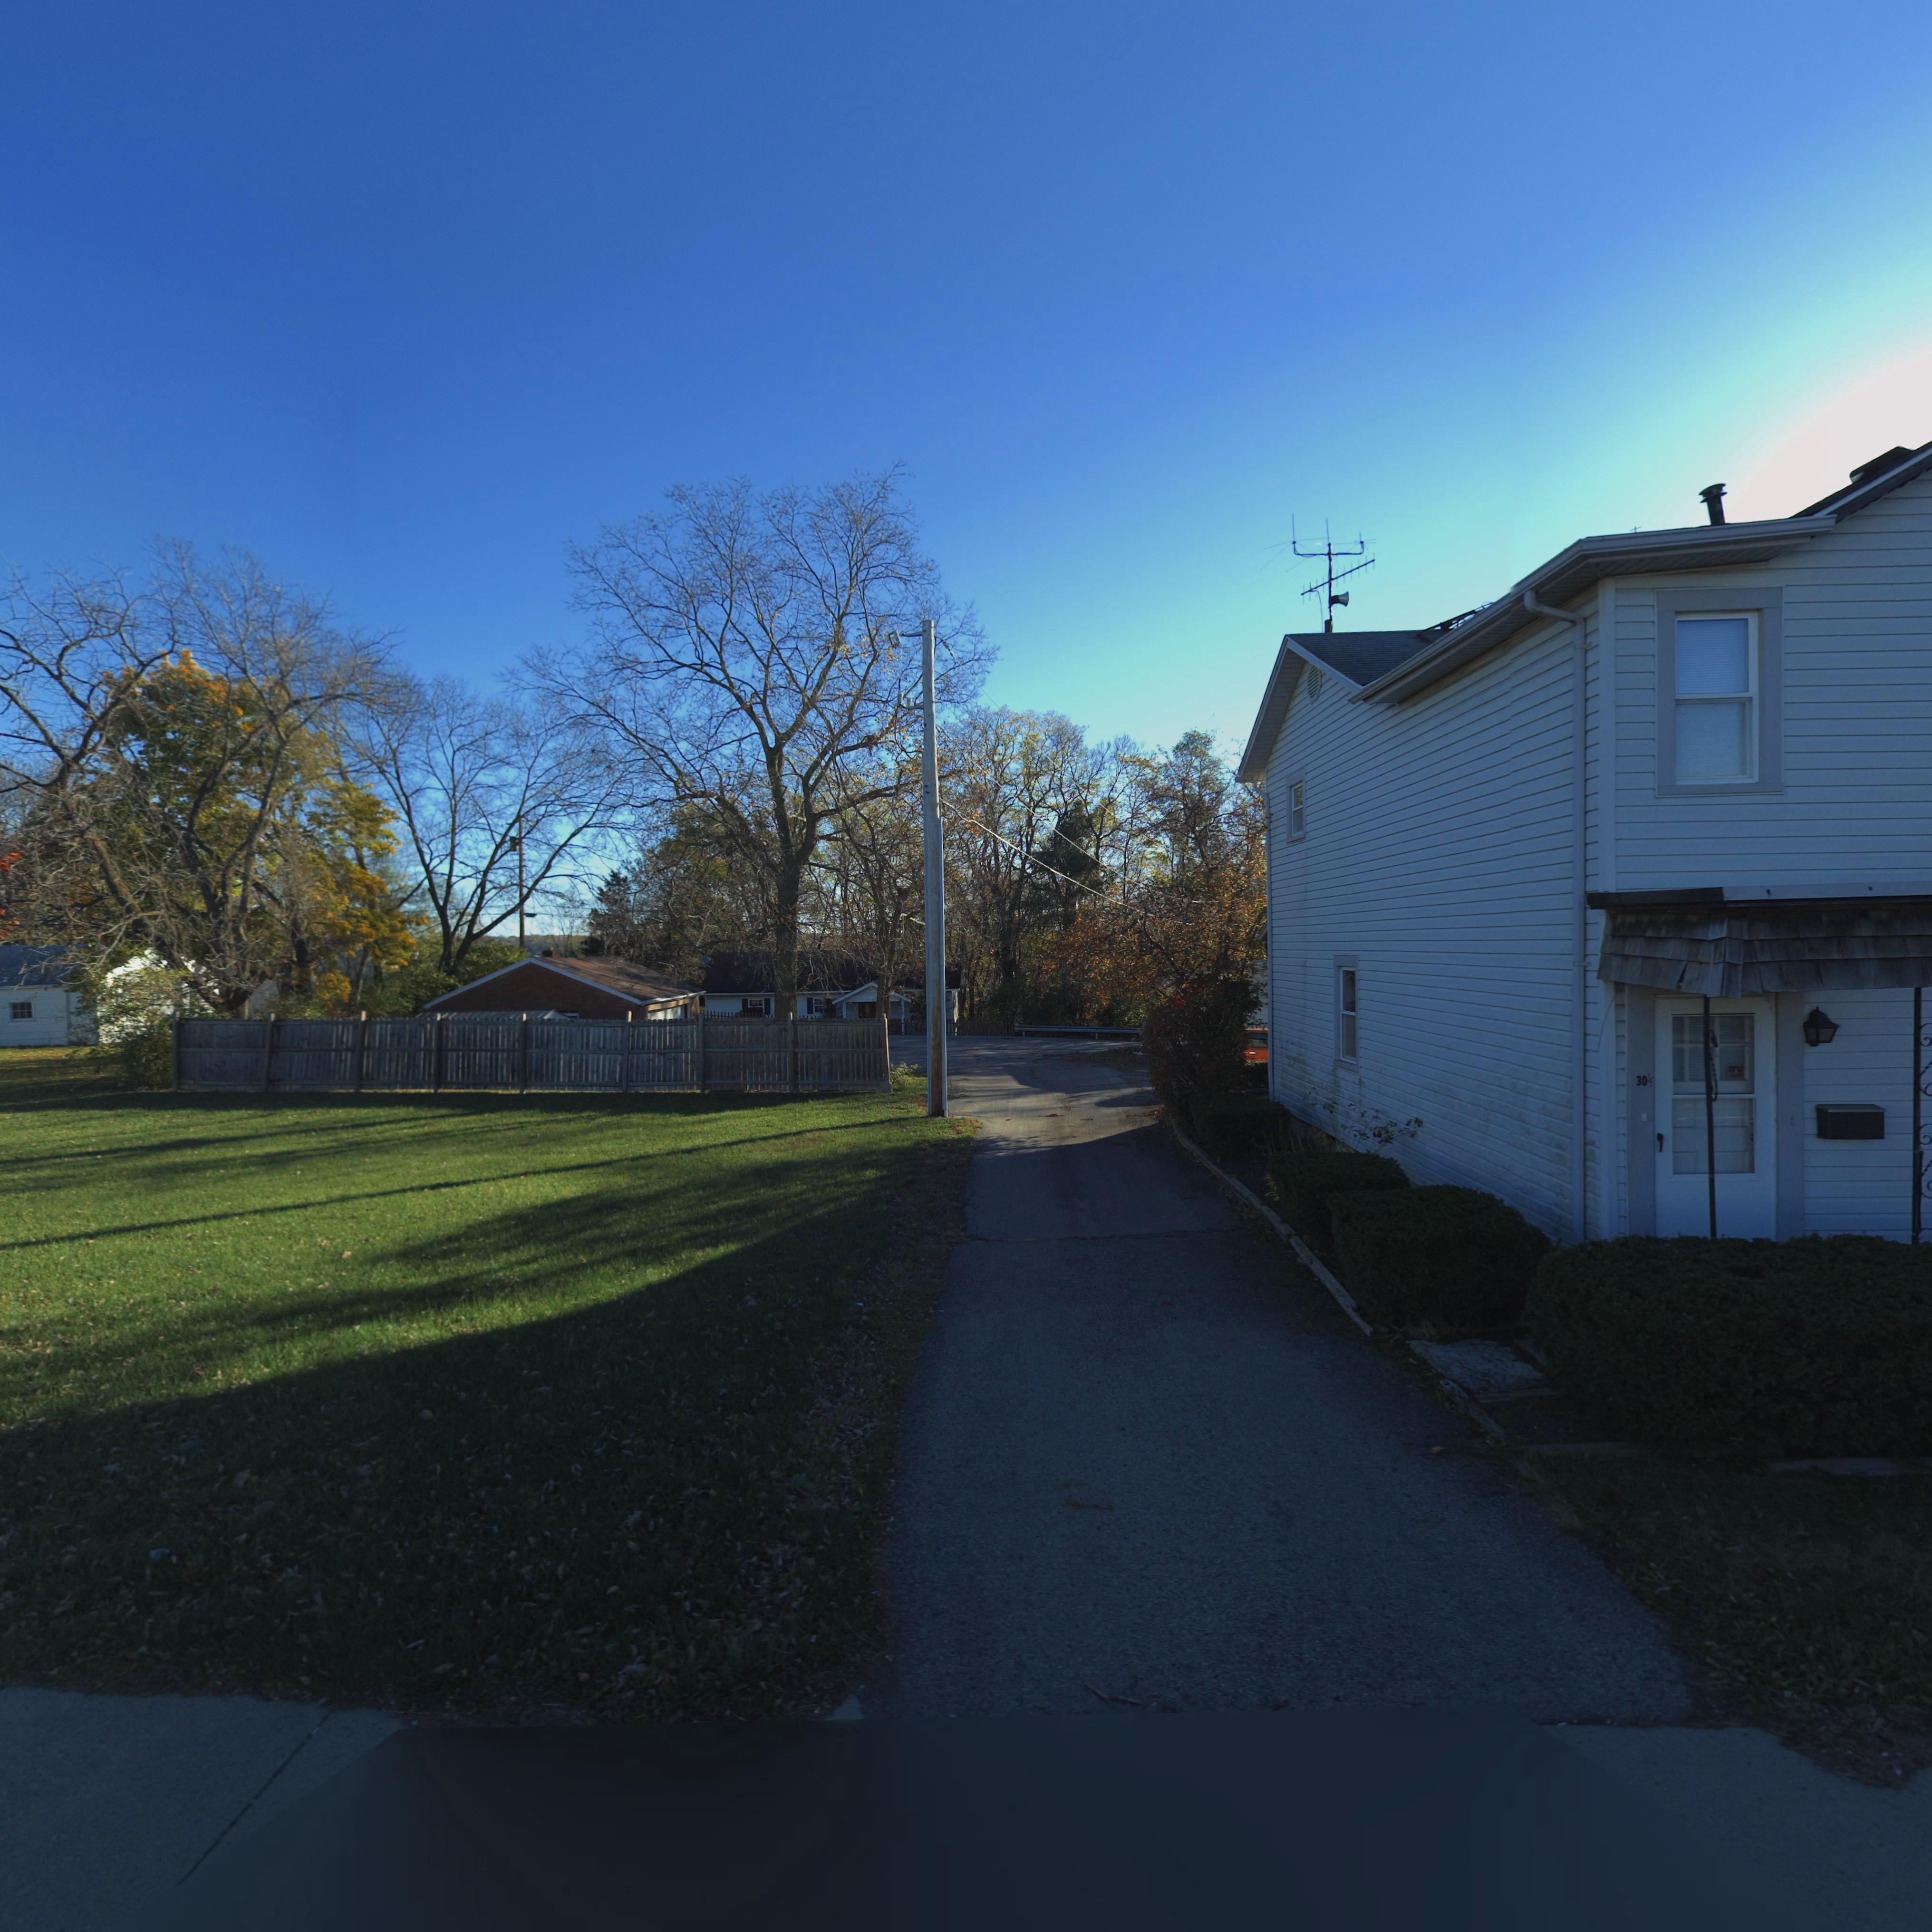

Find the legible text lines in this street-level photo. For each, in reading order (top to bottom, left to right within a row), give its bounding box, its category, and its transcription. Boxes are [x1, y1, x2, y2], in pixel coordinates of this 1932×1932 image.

[1635, 1073, 1655, 1088] StreetNumber: 30 1/2